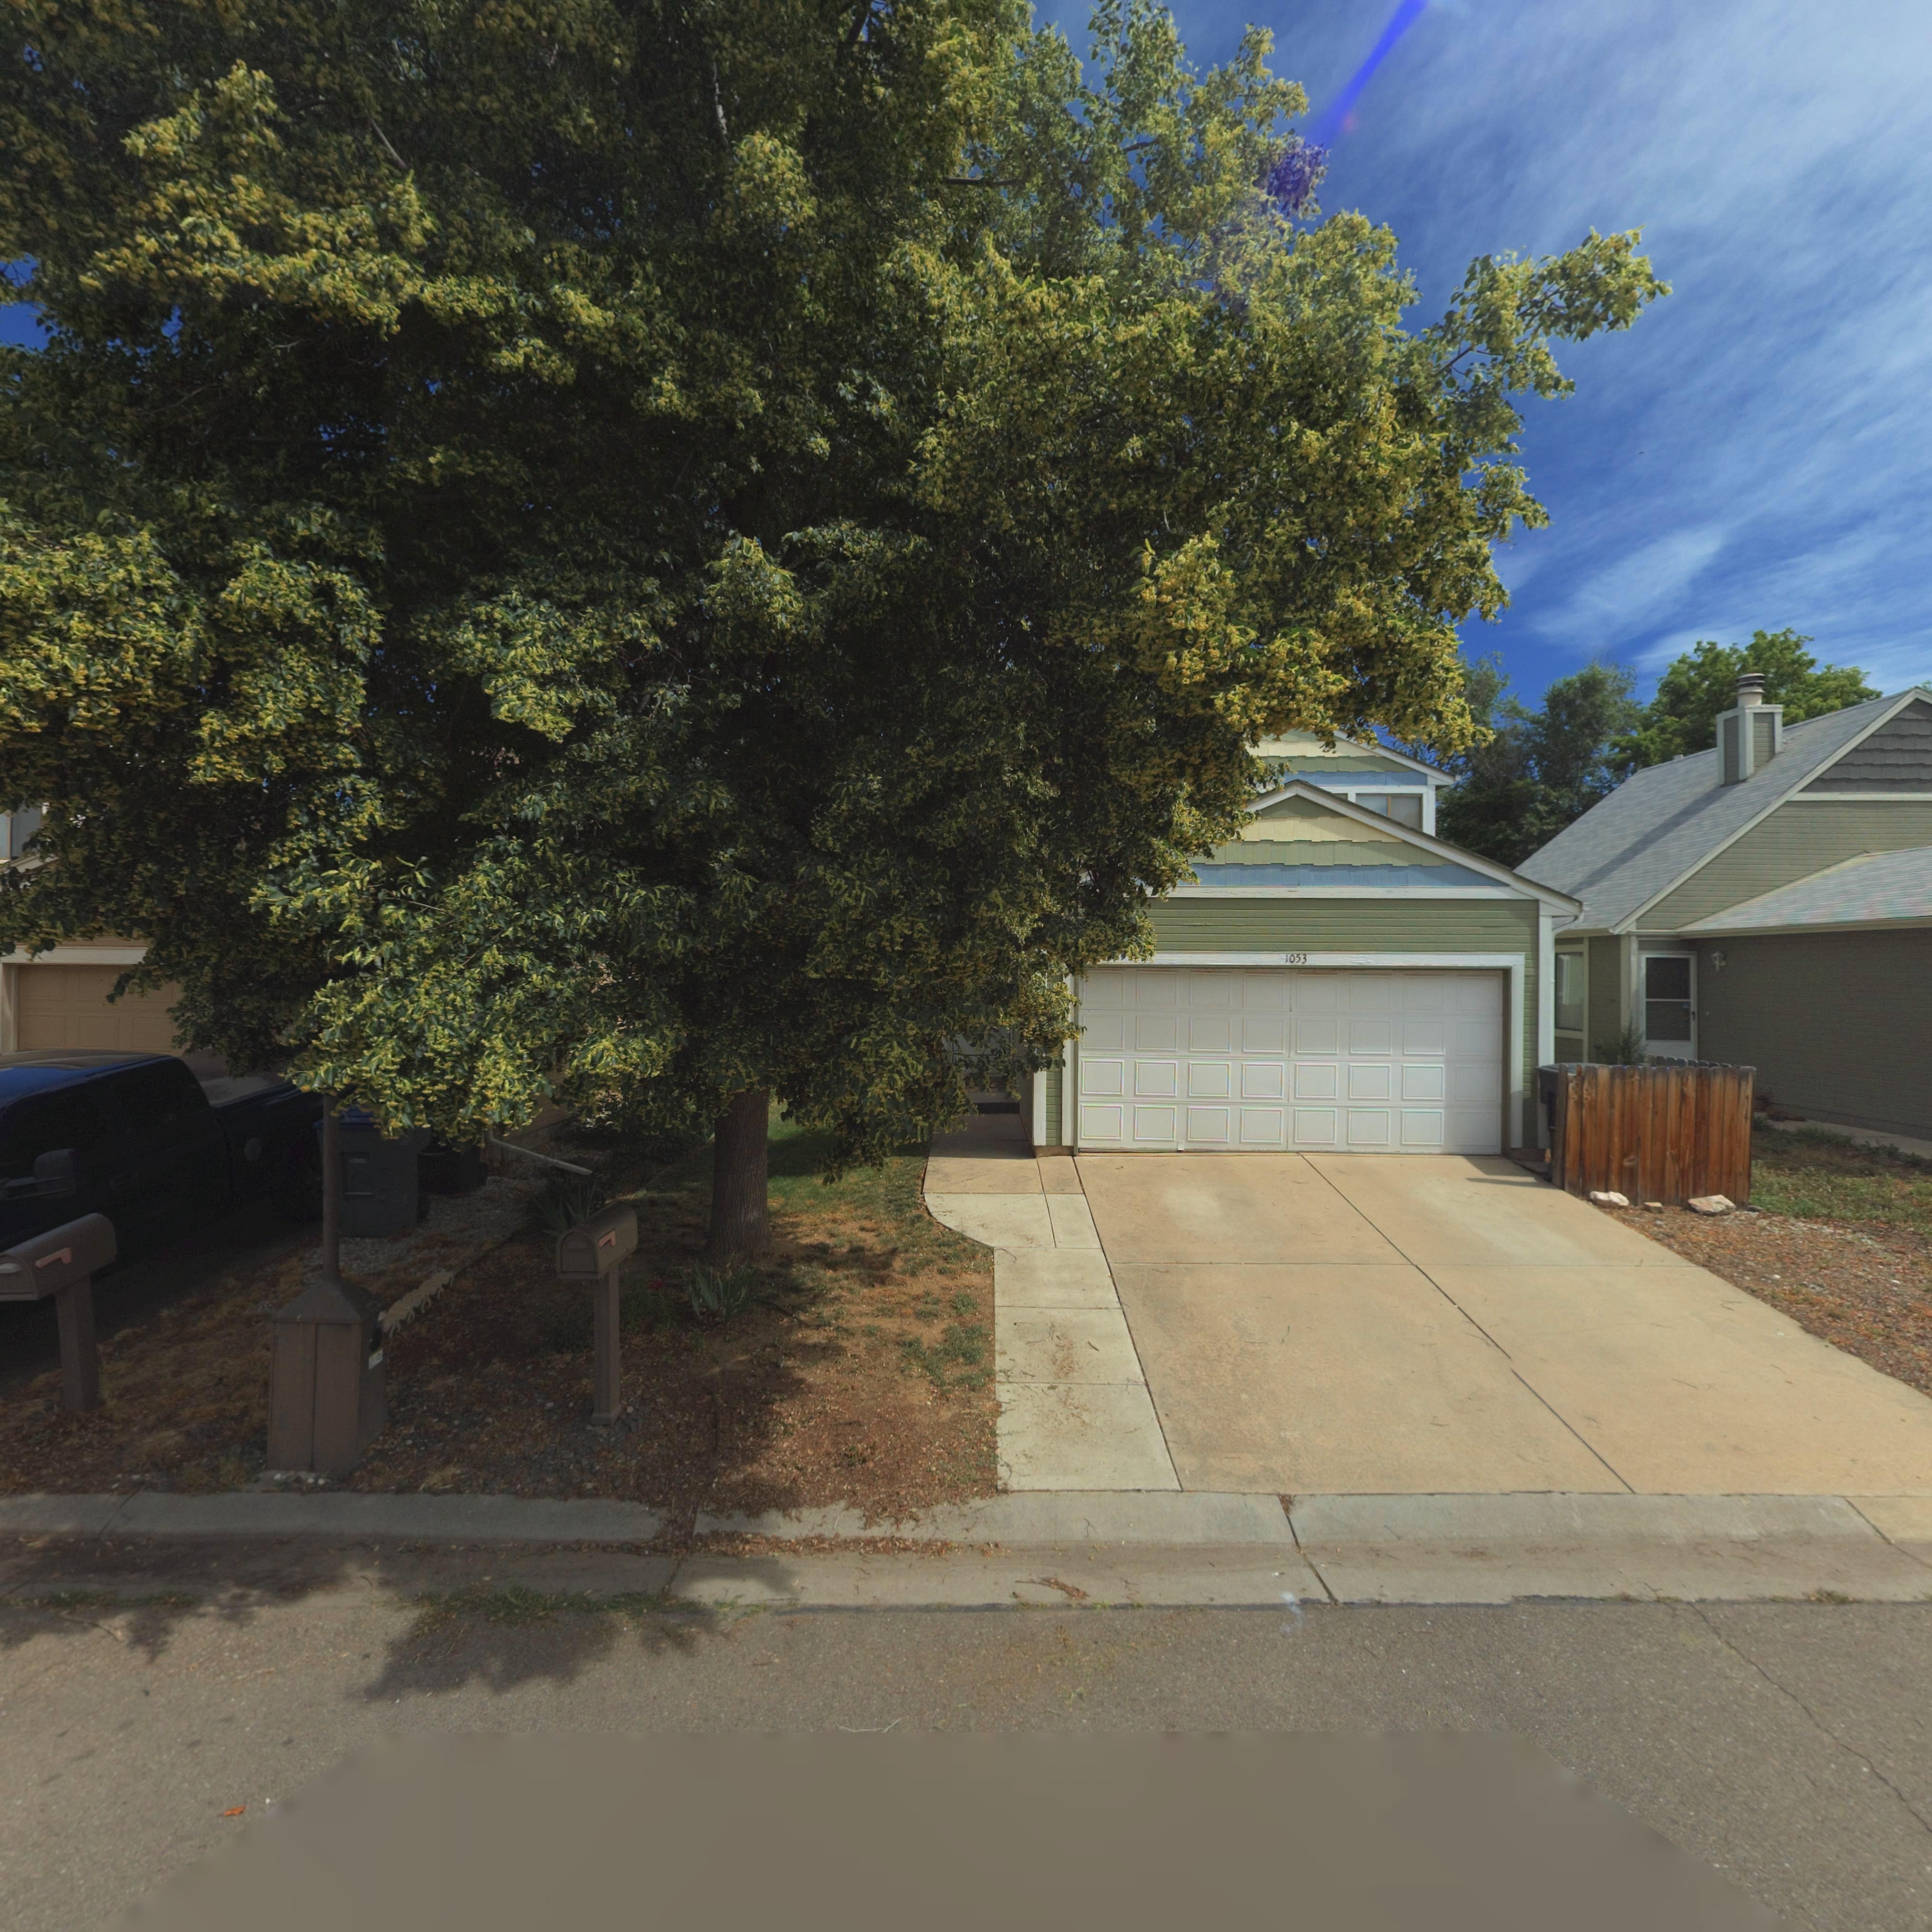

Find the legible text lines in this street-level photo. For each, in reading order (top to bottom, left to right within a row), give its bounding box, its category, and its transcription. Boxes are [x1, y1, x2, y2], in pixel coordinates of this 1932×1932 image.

[1285, 953, 1307, 964] StreetNumber: 1053